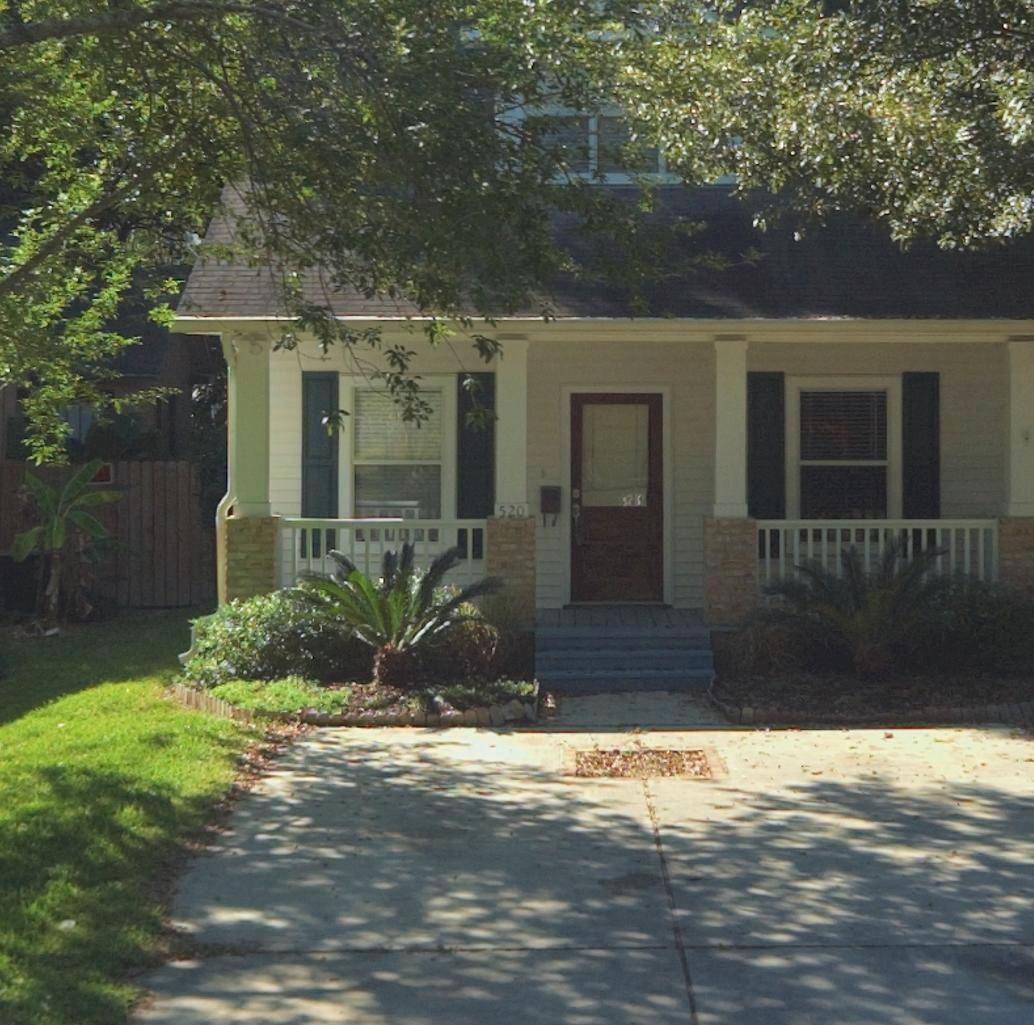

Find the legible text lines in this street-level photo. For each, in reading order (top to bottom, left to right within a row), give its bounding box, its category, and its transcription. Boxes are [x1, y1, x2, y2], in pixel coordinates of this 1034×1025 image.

[498, 504, 526, 519] StreetNumber: 520